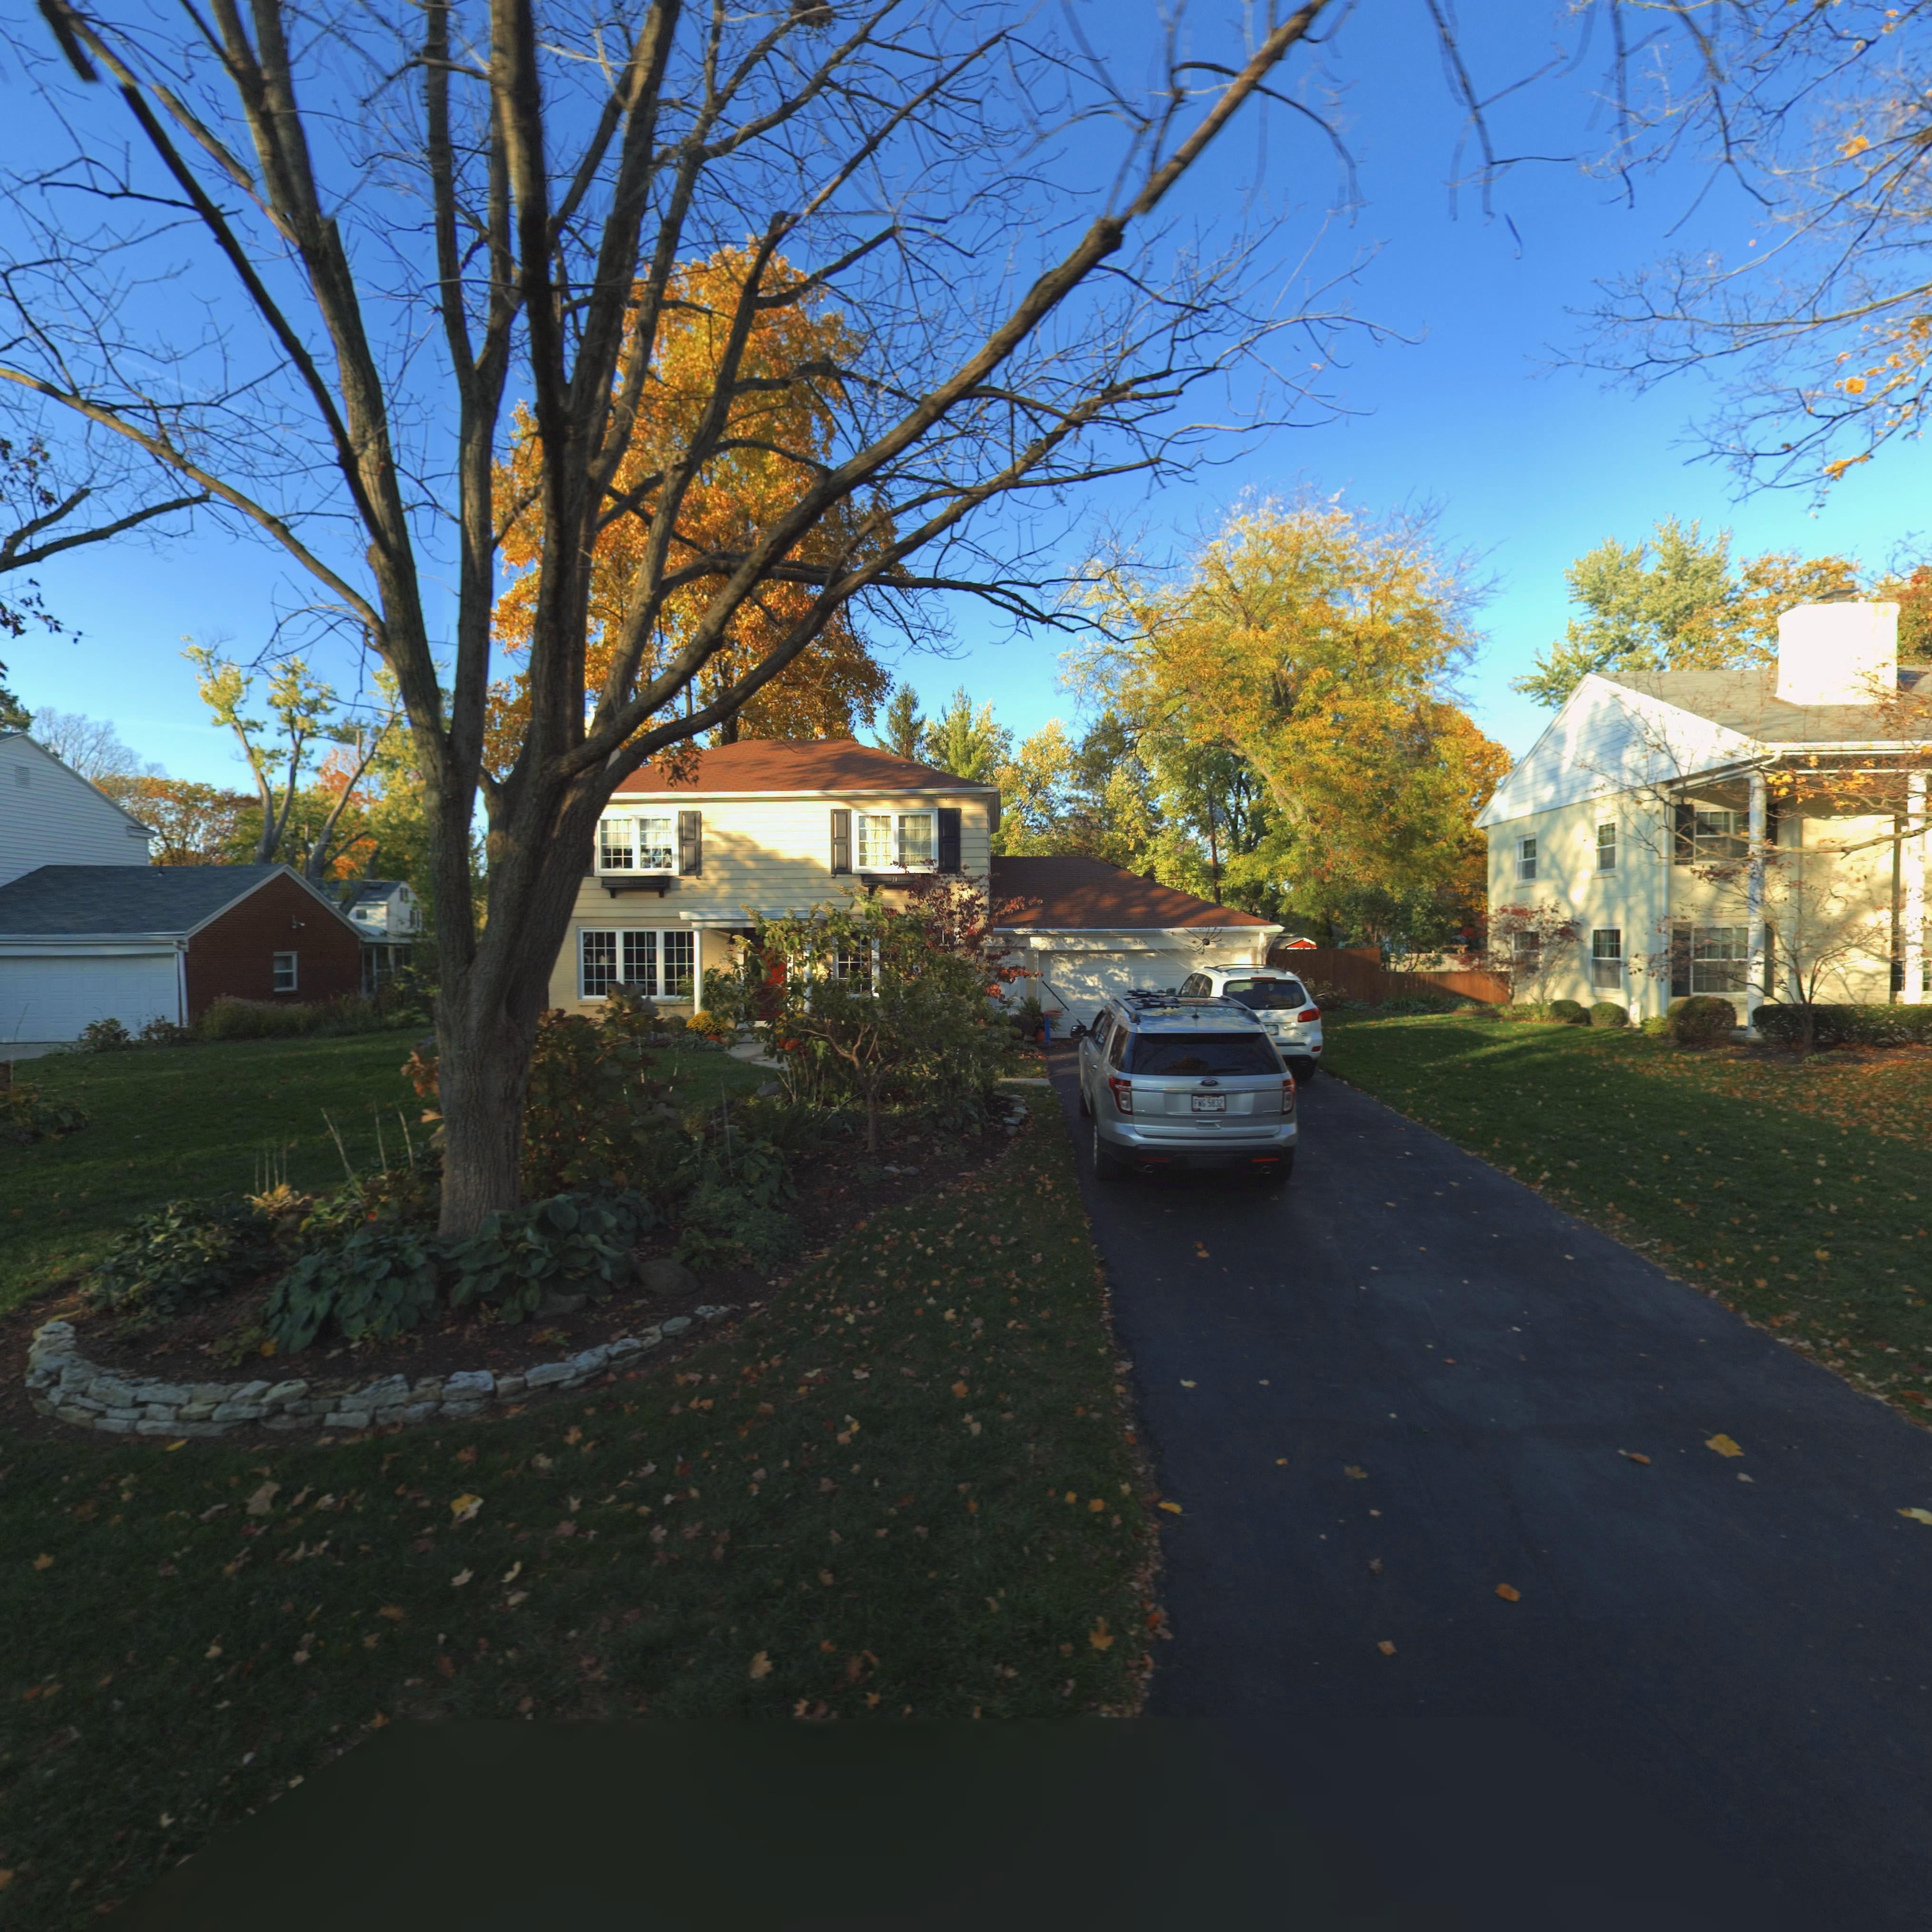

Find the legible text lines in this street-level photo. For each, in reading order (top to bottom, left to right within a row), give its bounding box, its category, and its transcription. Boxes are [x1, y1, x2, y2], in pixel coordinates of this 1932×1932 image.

[1132, 939, 1148, 947] StreetNumber: 365